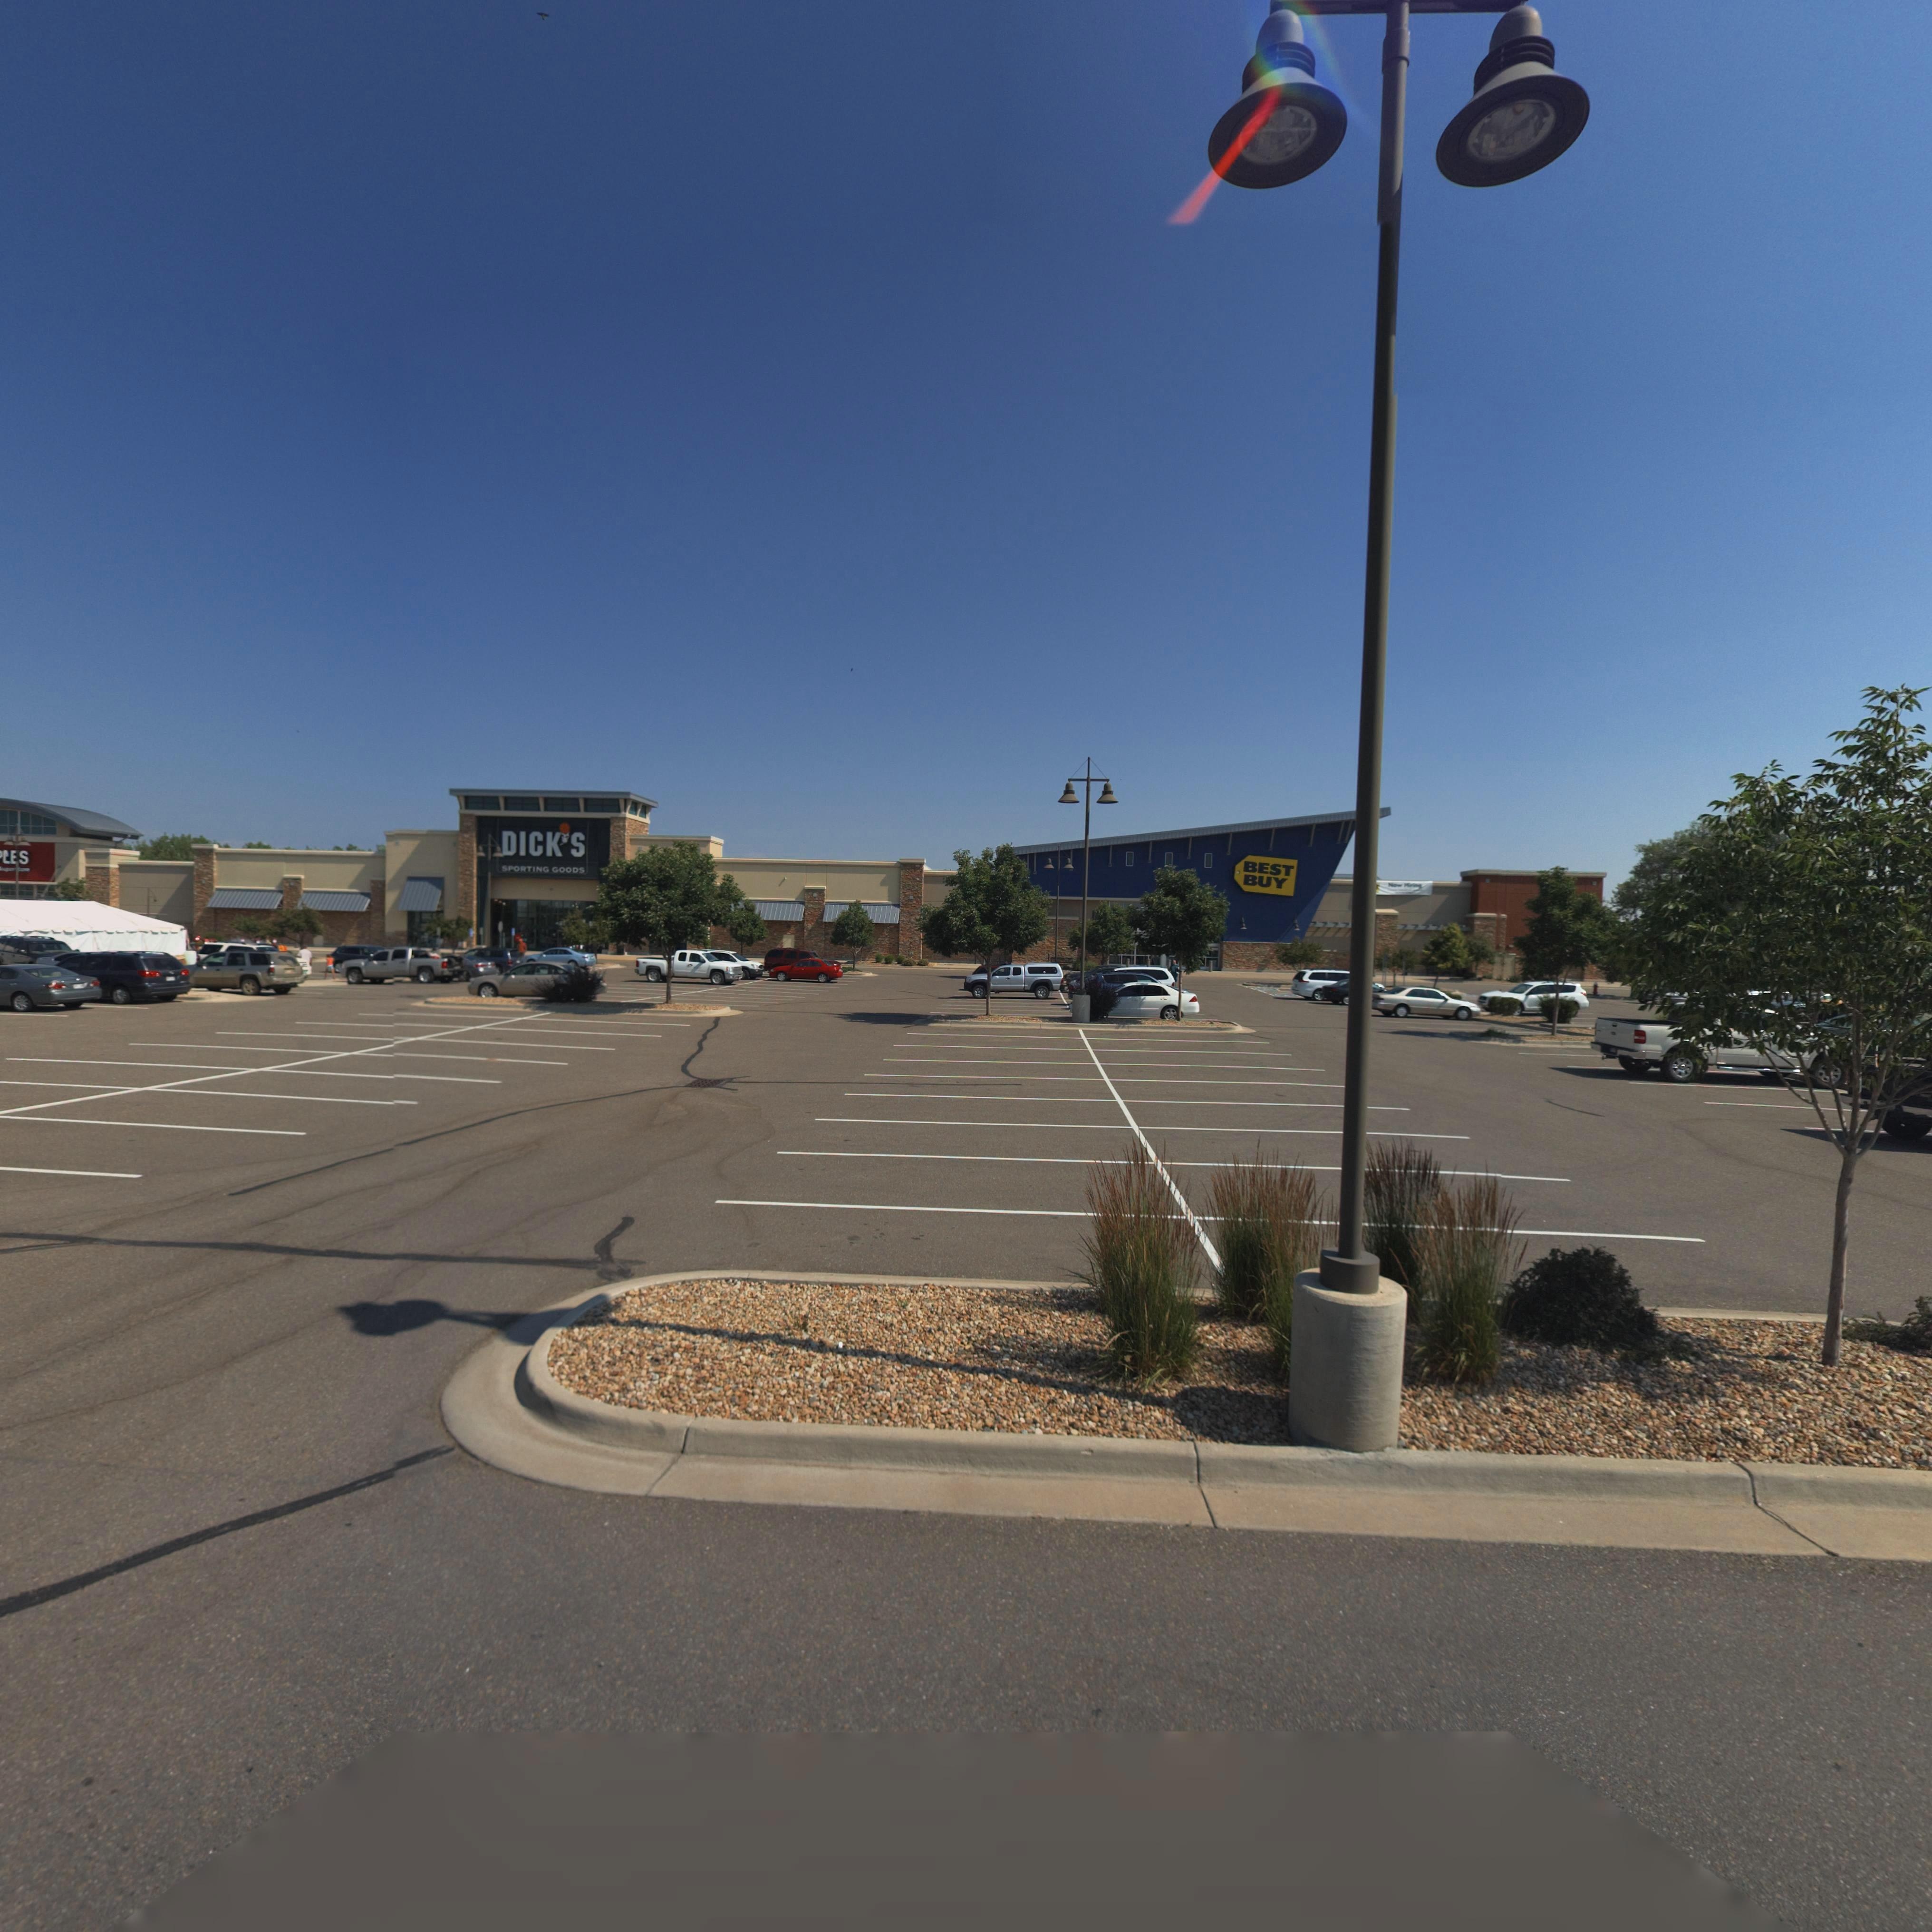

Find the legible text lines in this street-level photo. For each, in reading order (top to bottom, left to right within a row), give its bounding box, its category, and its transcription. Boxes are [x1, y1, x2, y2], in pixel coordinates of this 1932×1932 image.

[501, 830, 585, 857] BusinessName: DICK*S
[2, 849, 29, 865] BusinessName: LES
[1243, 860, 1295, 877] BusinessName: BEST
[1243, 874, 1288, 889] BusinessName: BUY